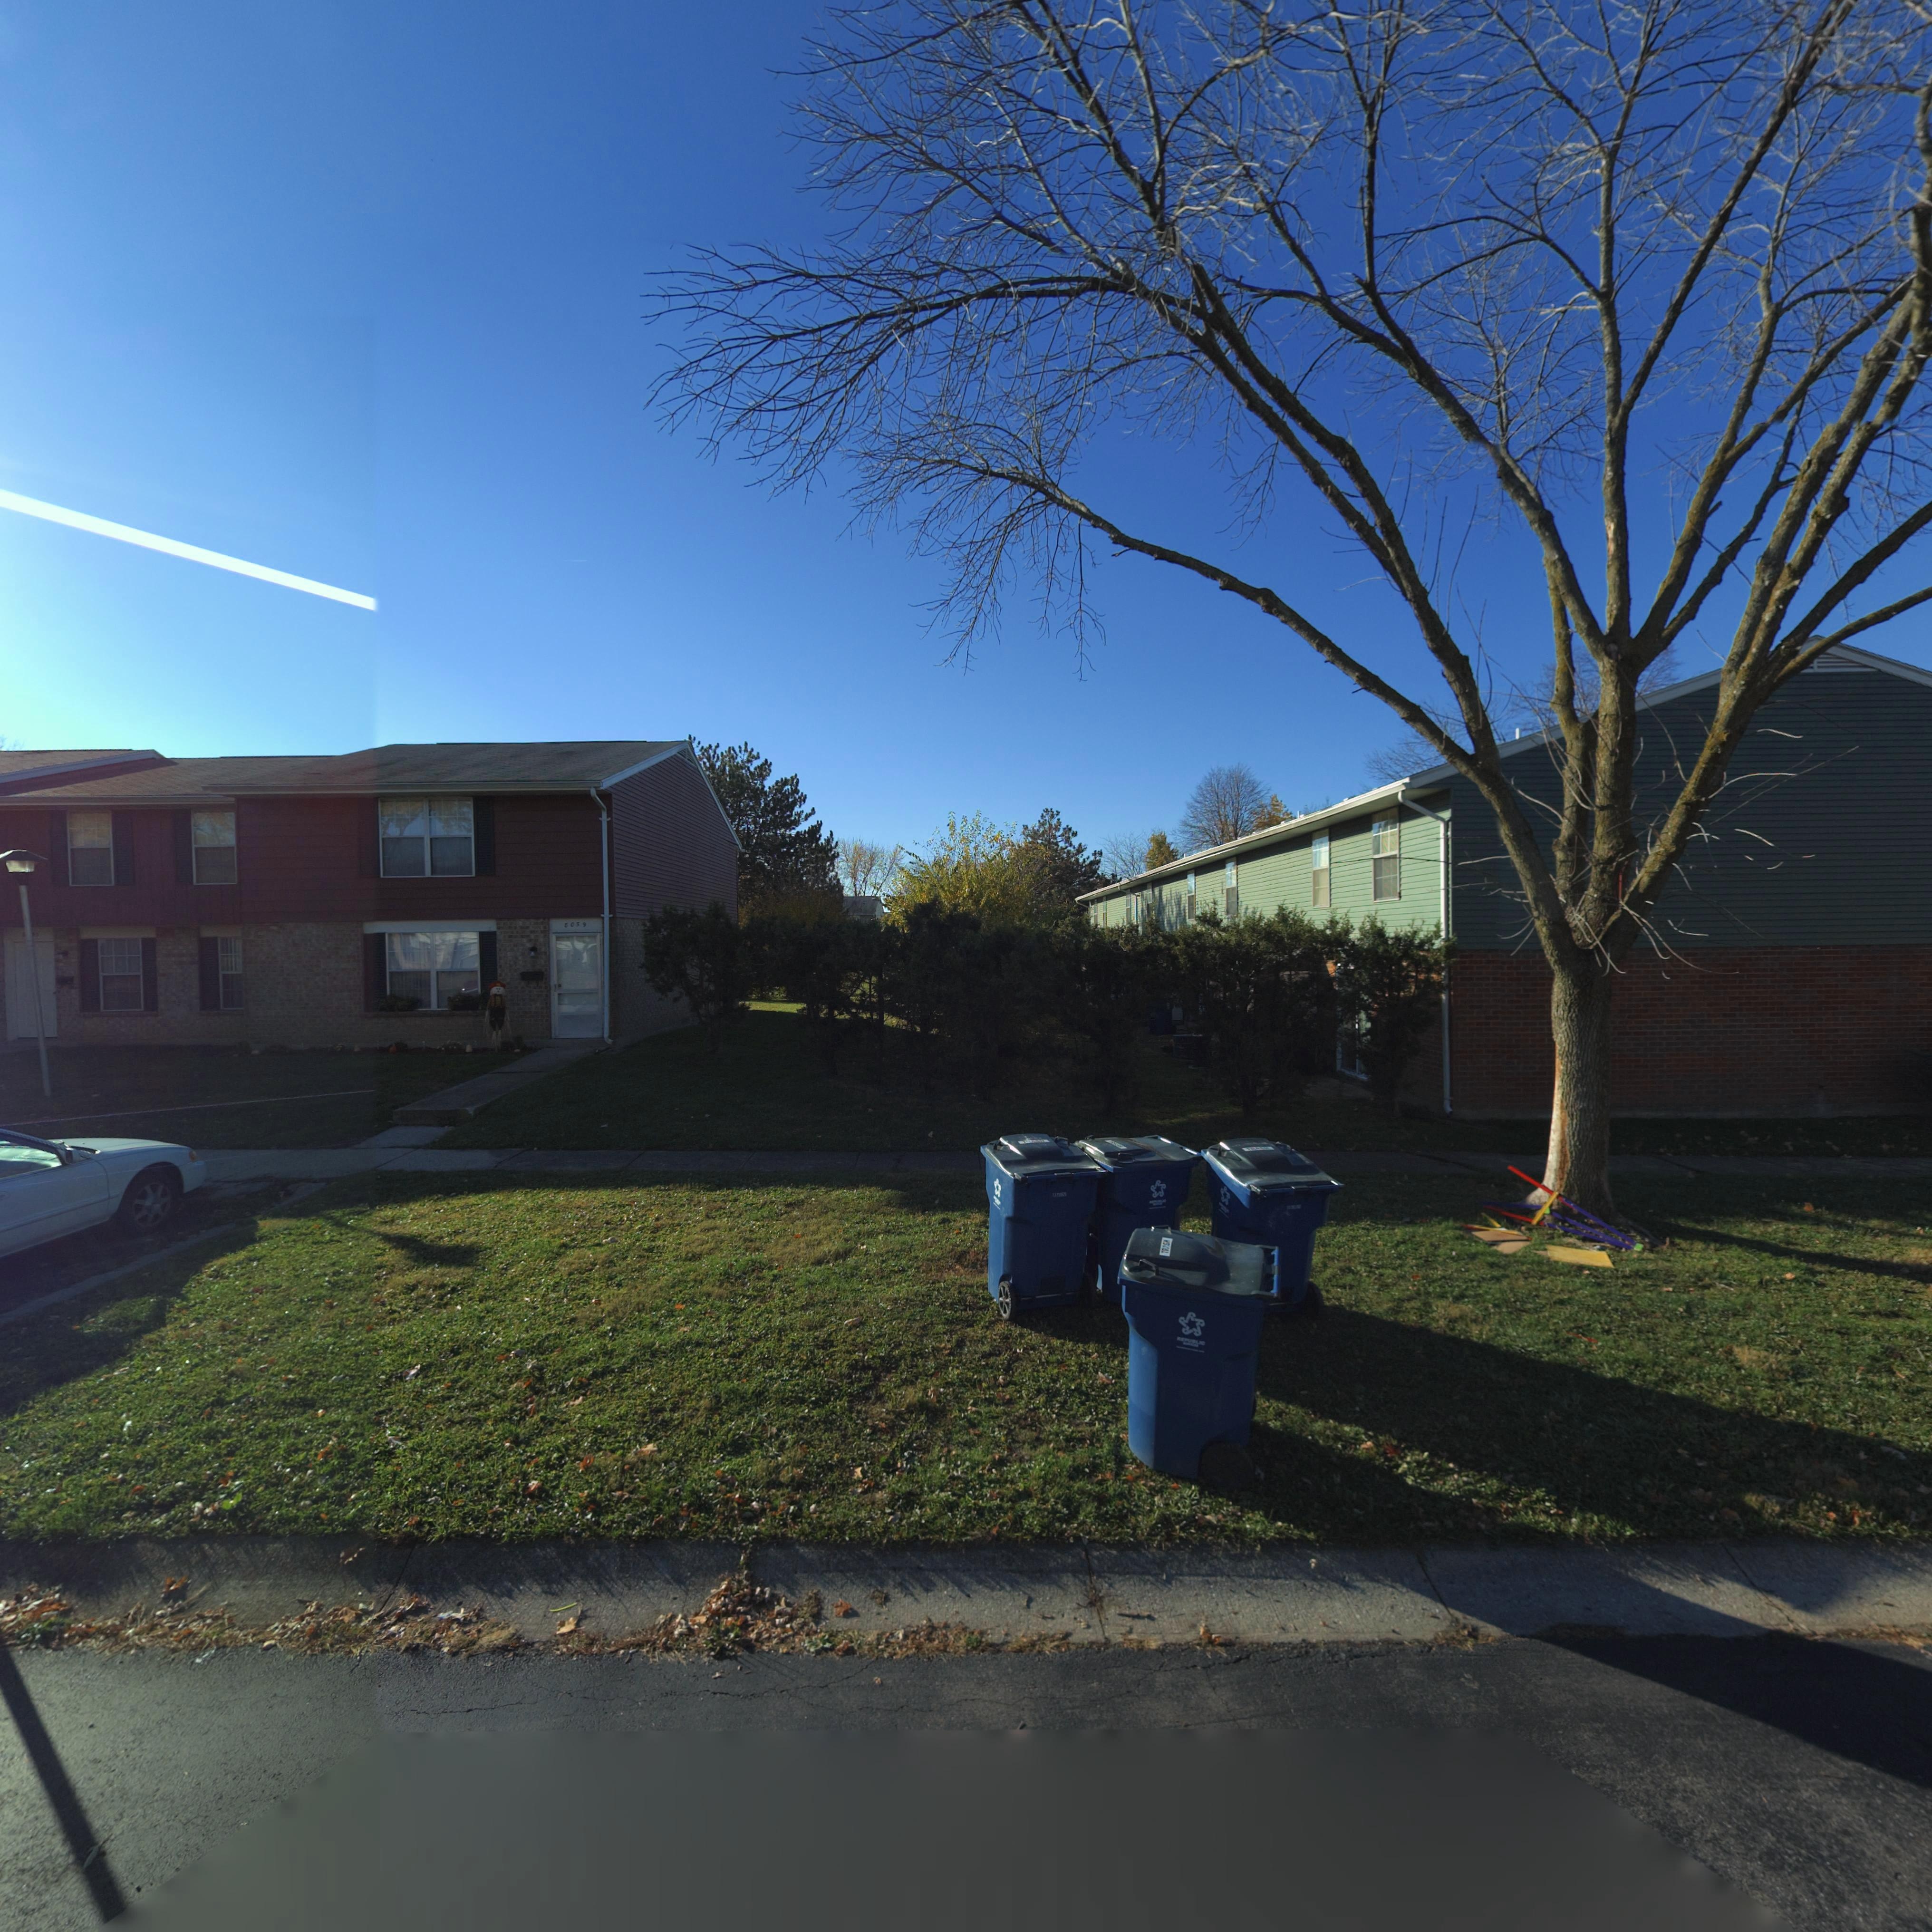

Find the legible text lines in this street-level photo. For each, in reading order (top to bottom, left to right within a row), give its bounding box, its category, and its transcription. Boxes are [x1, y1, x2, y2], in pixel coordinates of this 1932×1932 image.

[563, 921, 587, 929] StreetNumber: 8059